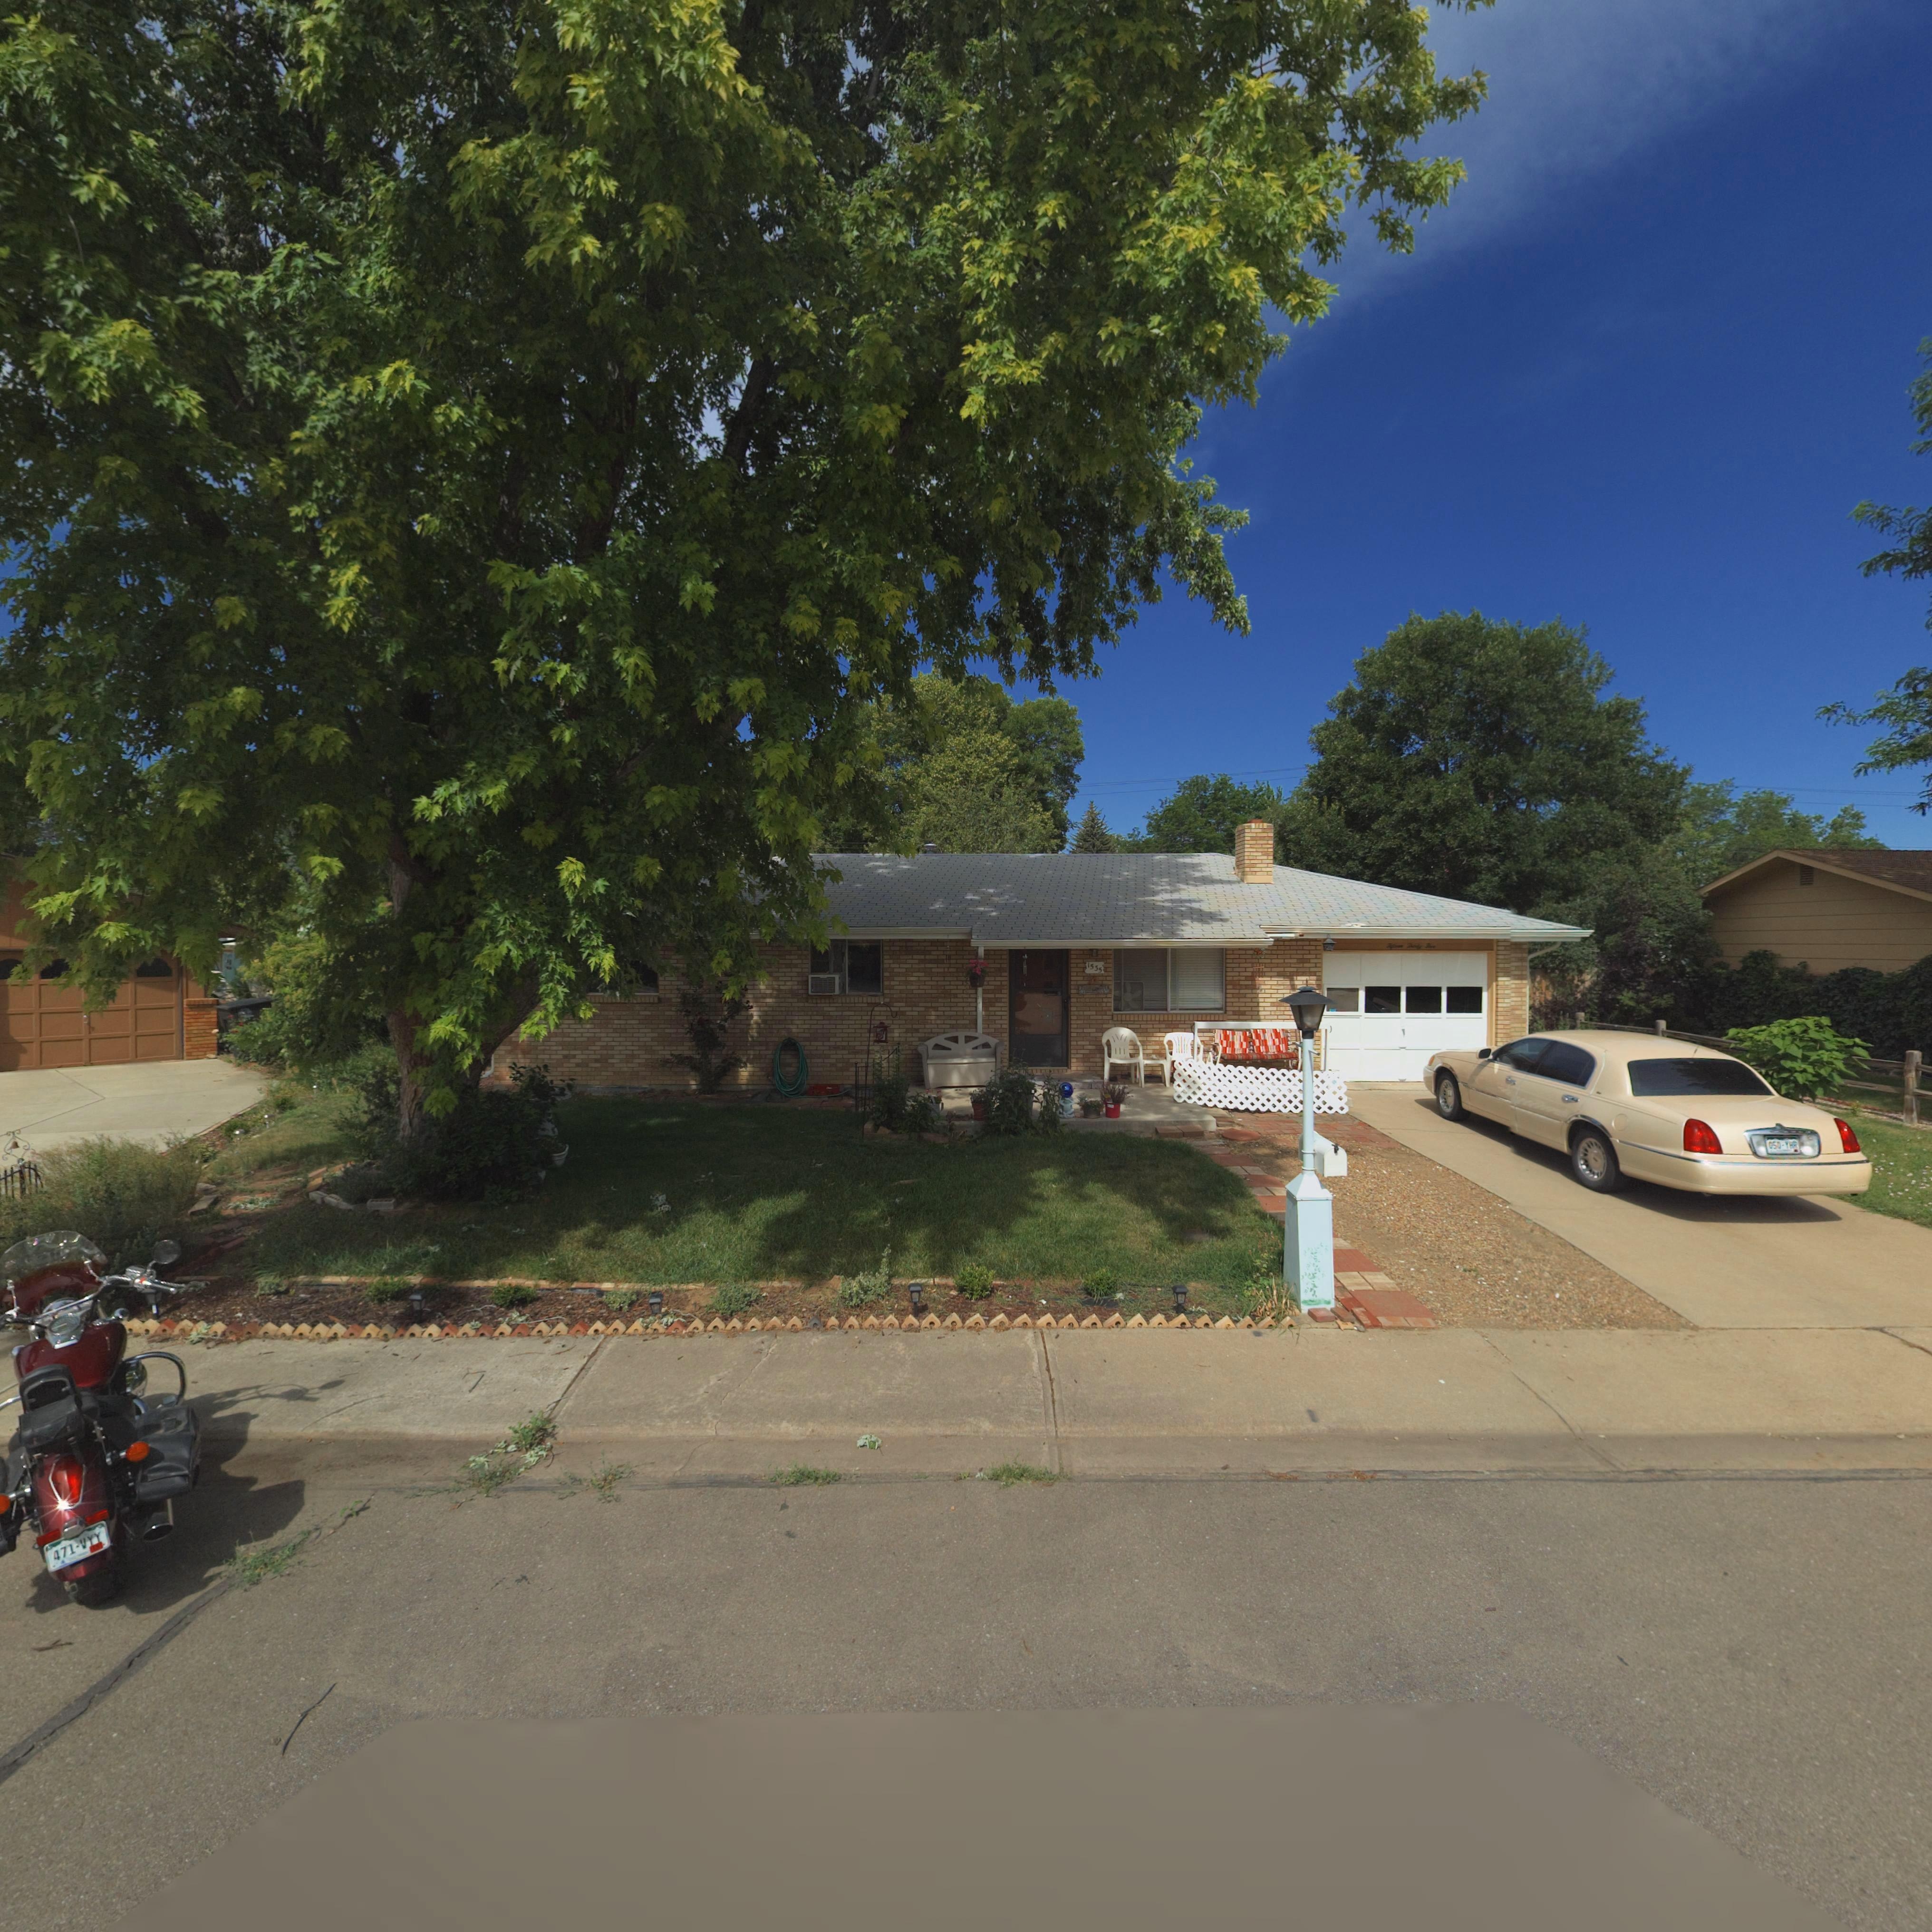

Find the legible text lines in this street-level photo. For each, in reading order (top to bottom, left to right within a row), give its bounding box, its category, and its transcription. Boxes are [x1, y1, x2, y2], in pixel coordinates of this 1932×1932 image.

[1087, 961, 1102, 974] StreetNumber: 1535